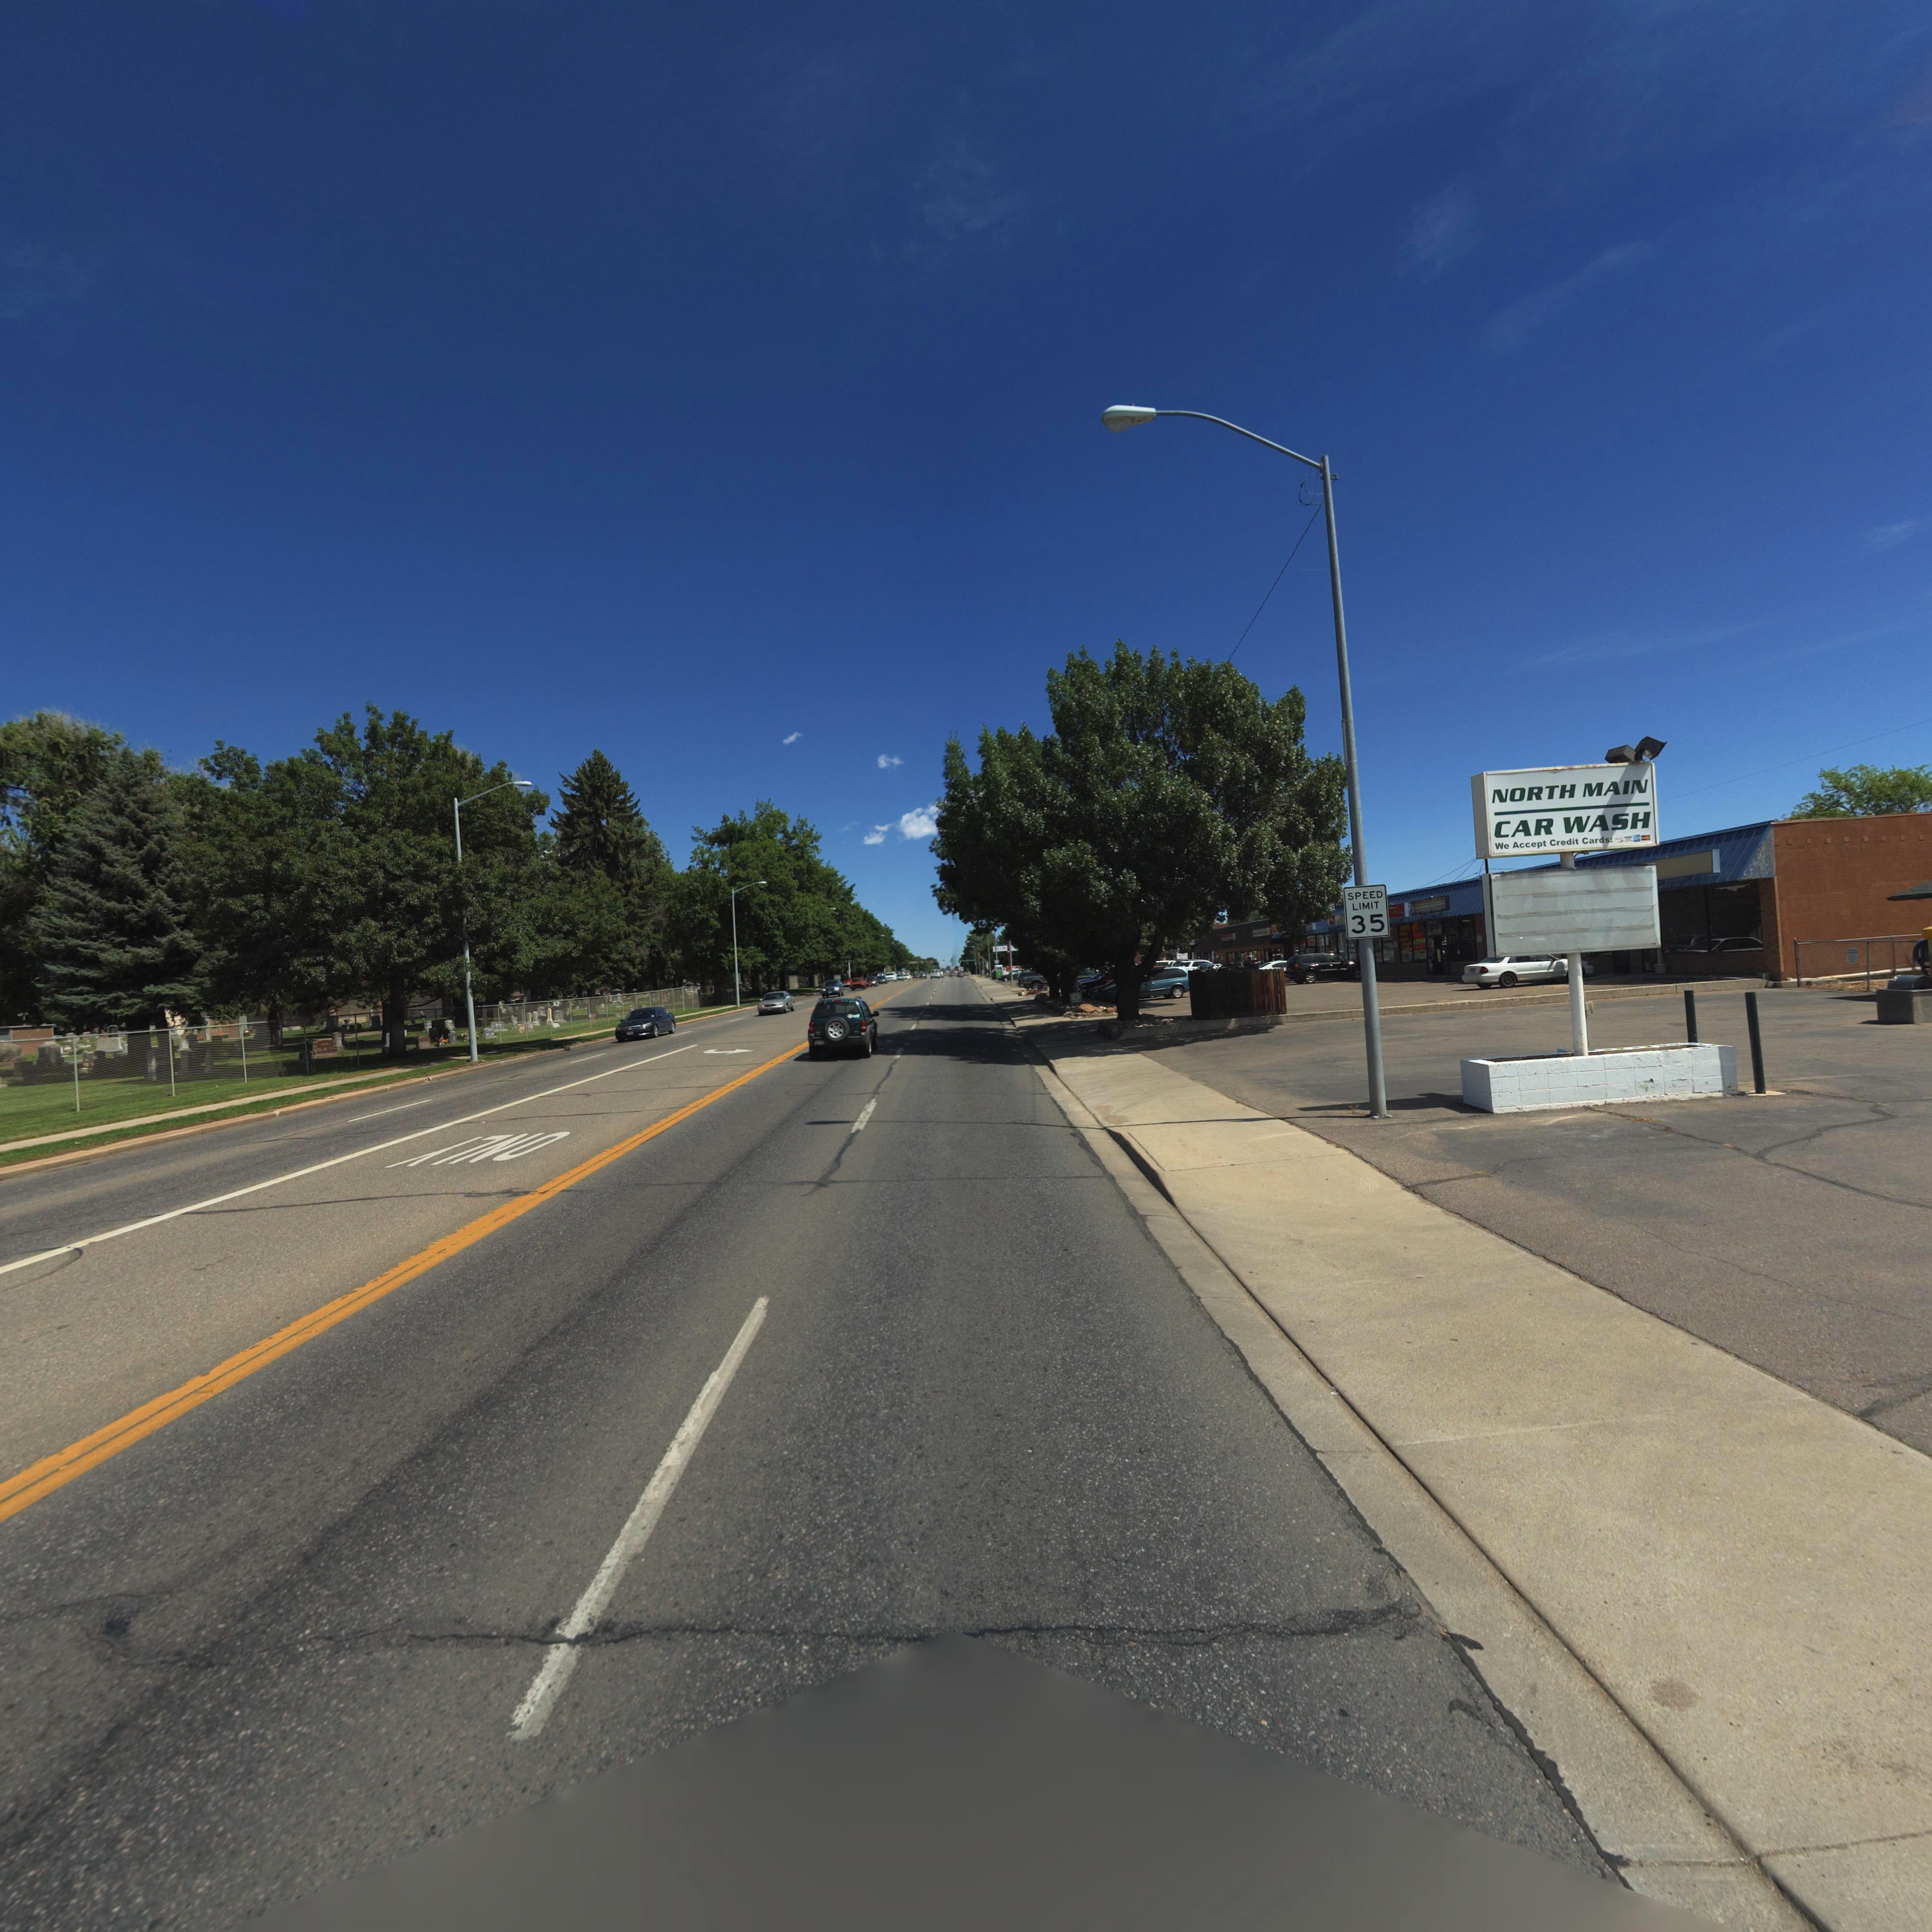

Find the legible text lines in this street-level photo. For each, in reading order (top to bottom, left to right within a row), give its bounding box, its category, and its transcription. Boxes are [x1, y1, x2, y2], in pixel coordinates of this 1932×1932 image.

[1491, 778, 1649, 804] BusinessName: NORTH MAIN
[1494, 811, 1652, 839] StreetNumber: CAR WASH